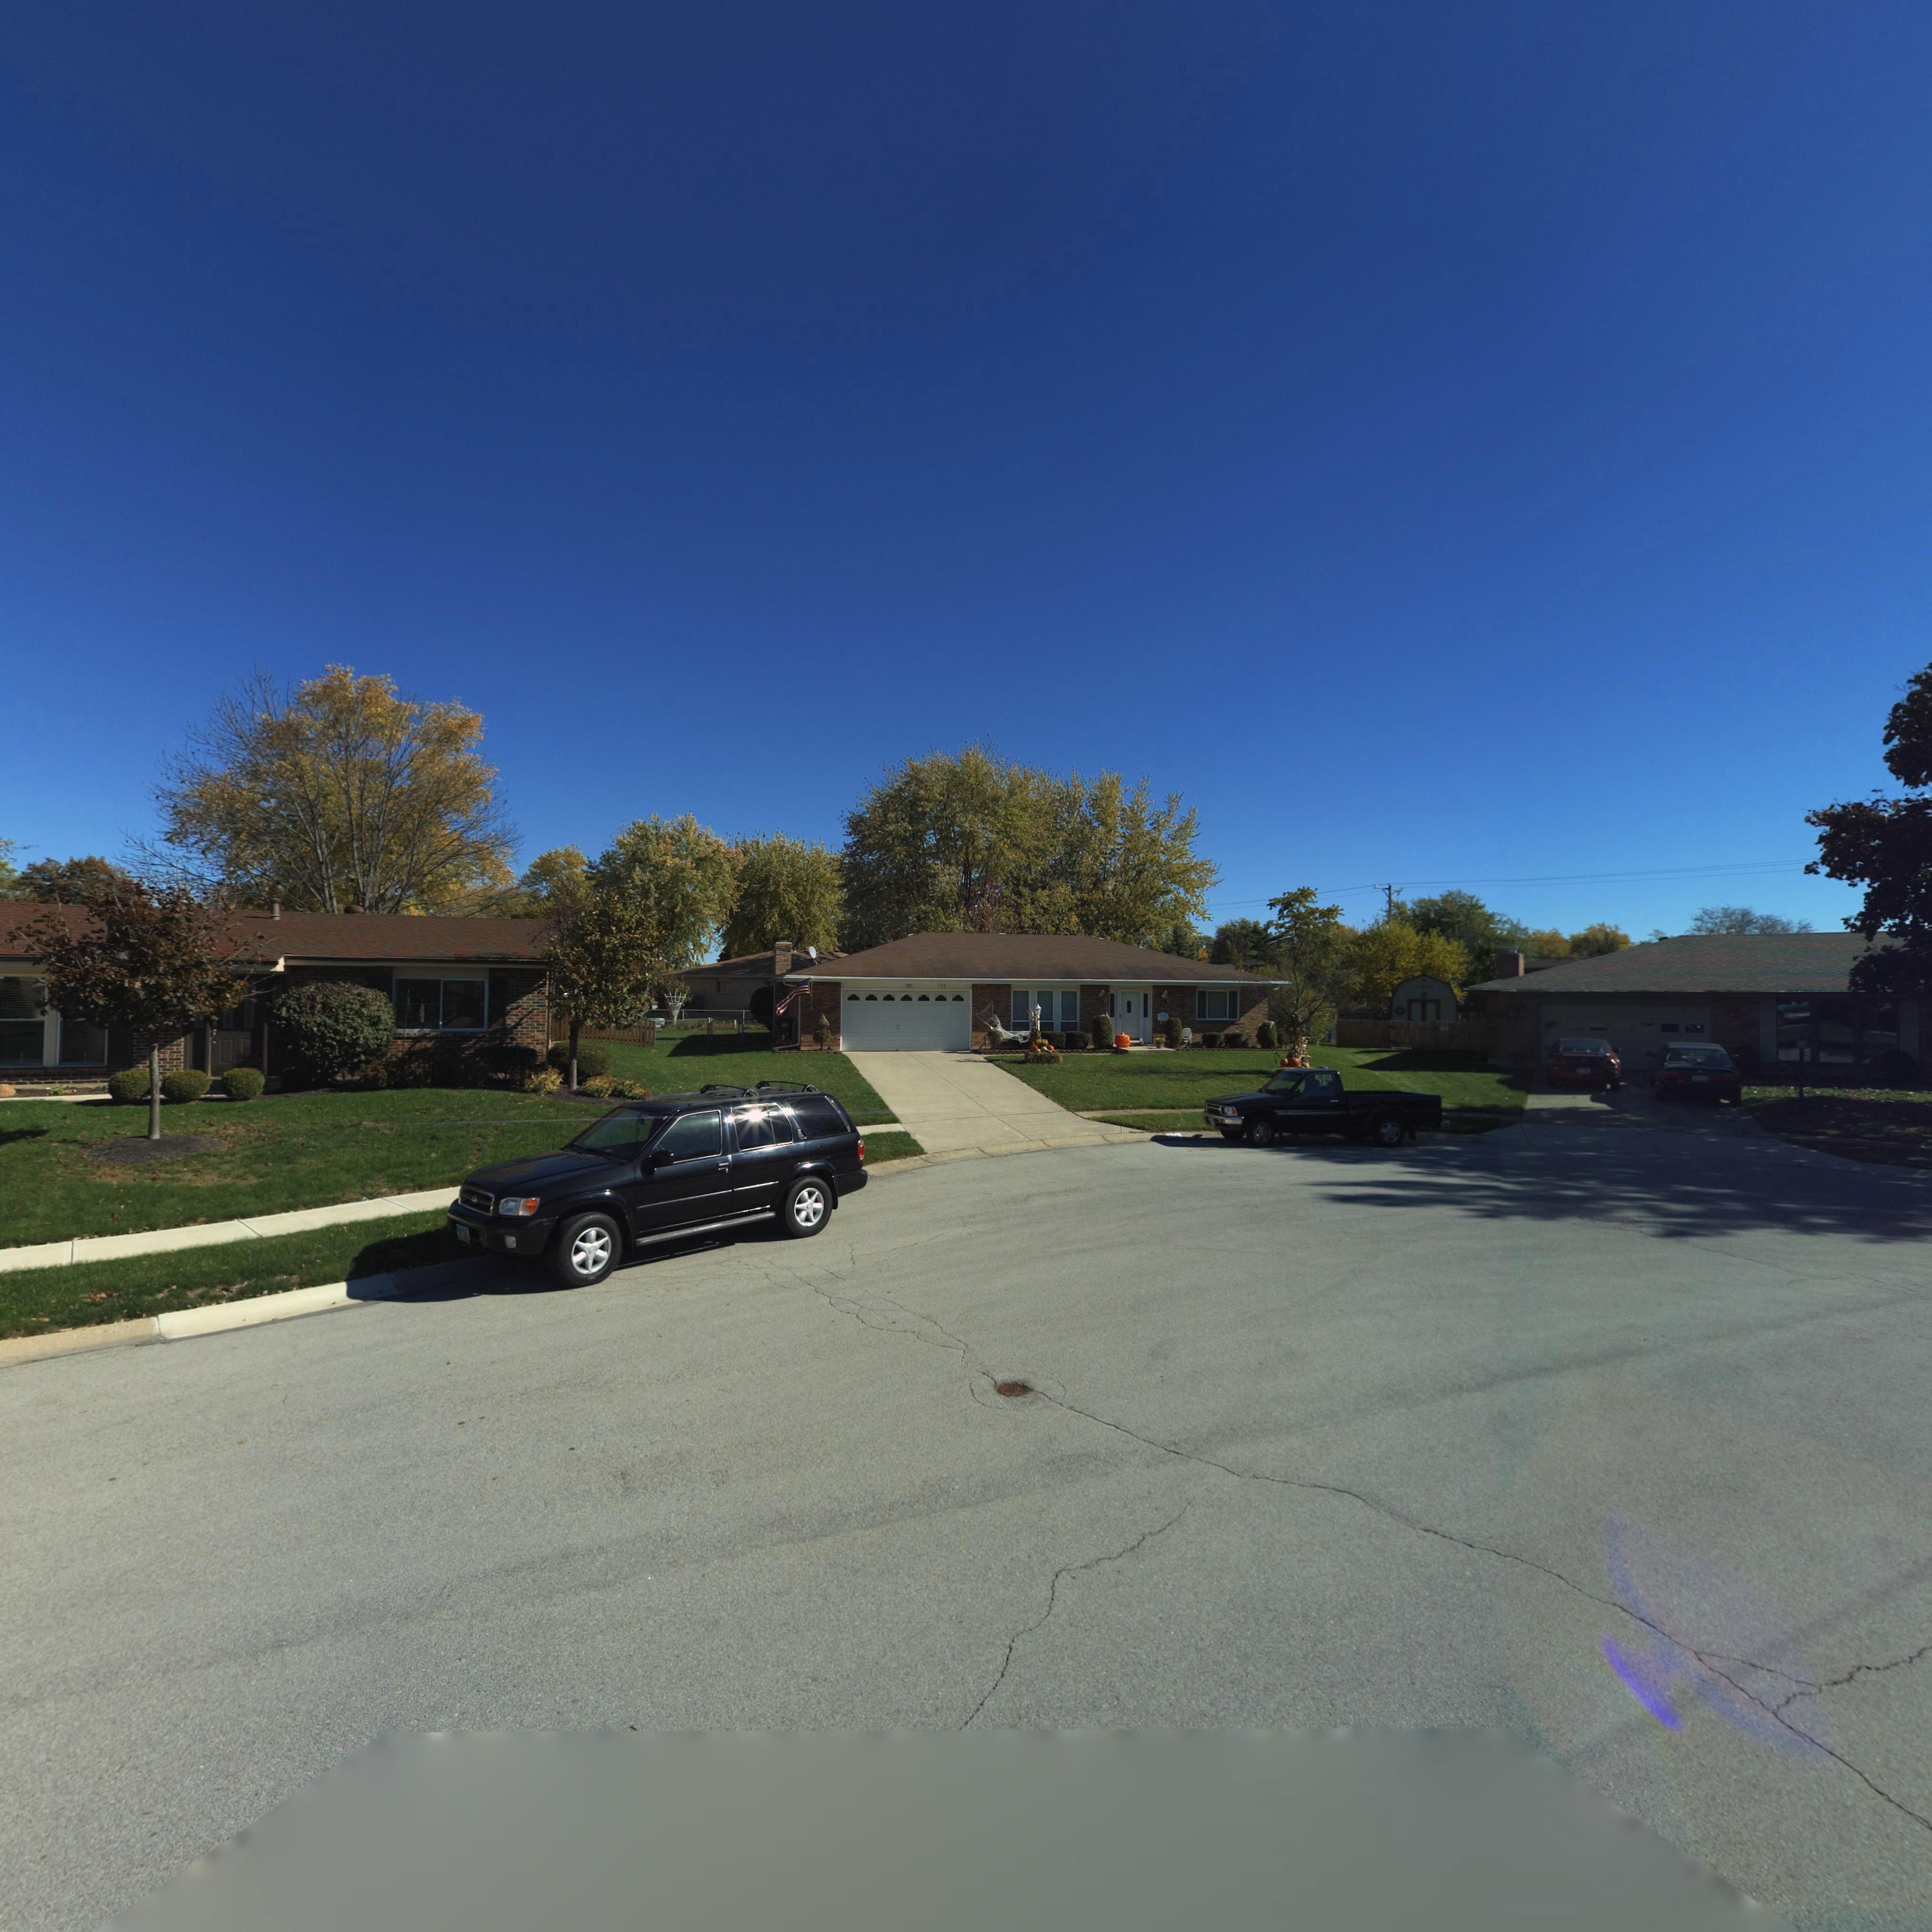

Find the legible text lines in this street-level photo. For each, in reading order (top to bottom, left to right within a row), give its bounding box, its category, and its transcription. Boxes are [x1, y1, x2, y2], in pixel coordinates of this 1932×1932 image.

[937, 983, 947, 987] StreetNumber: 712